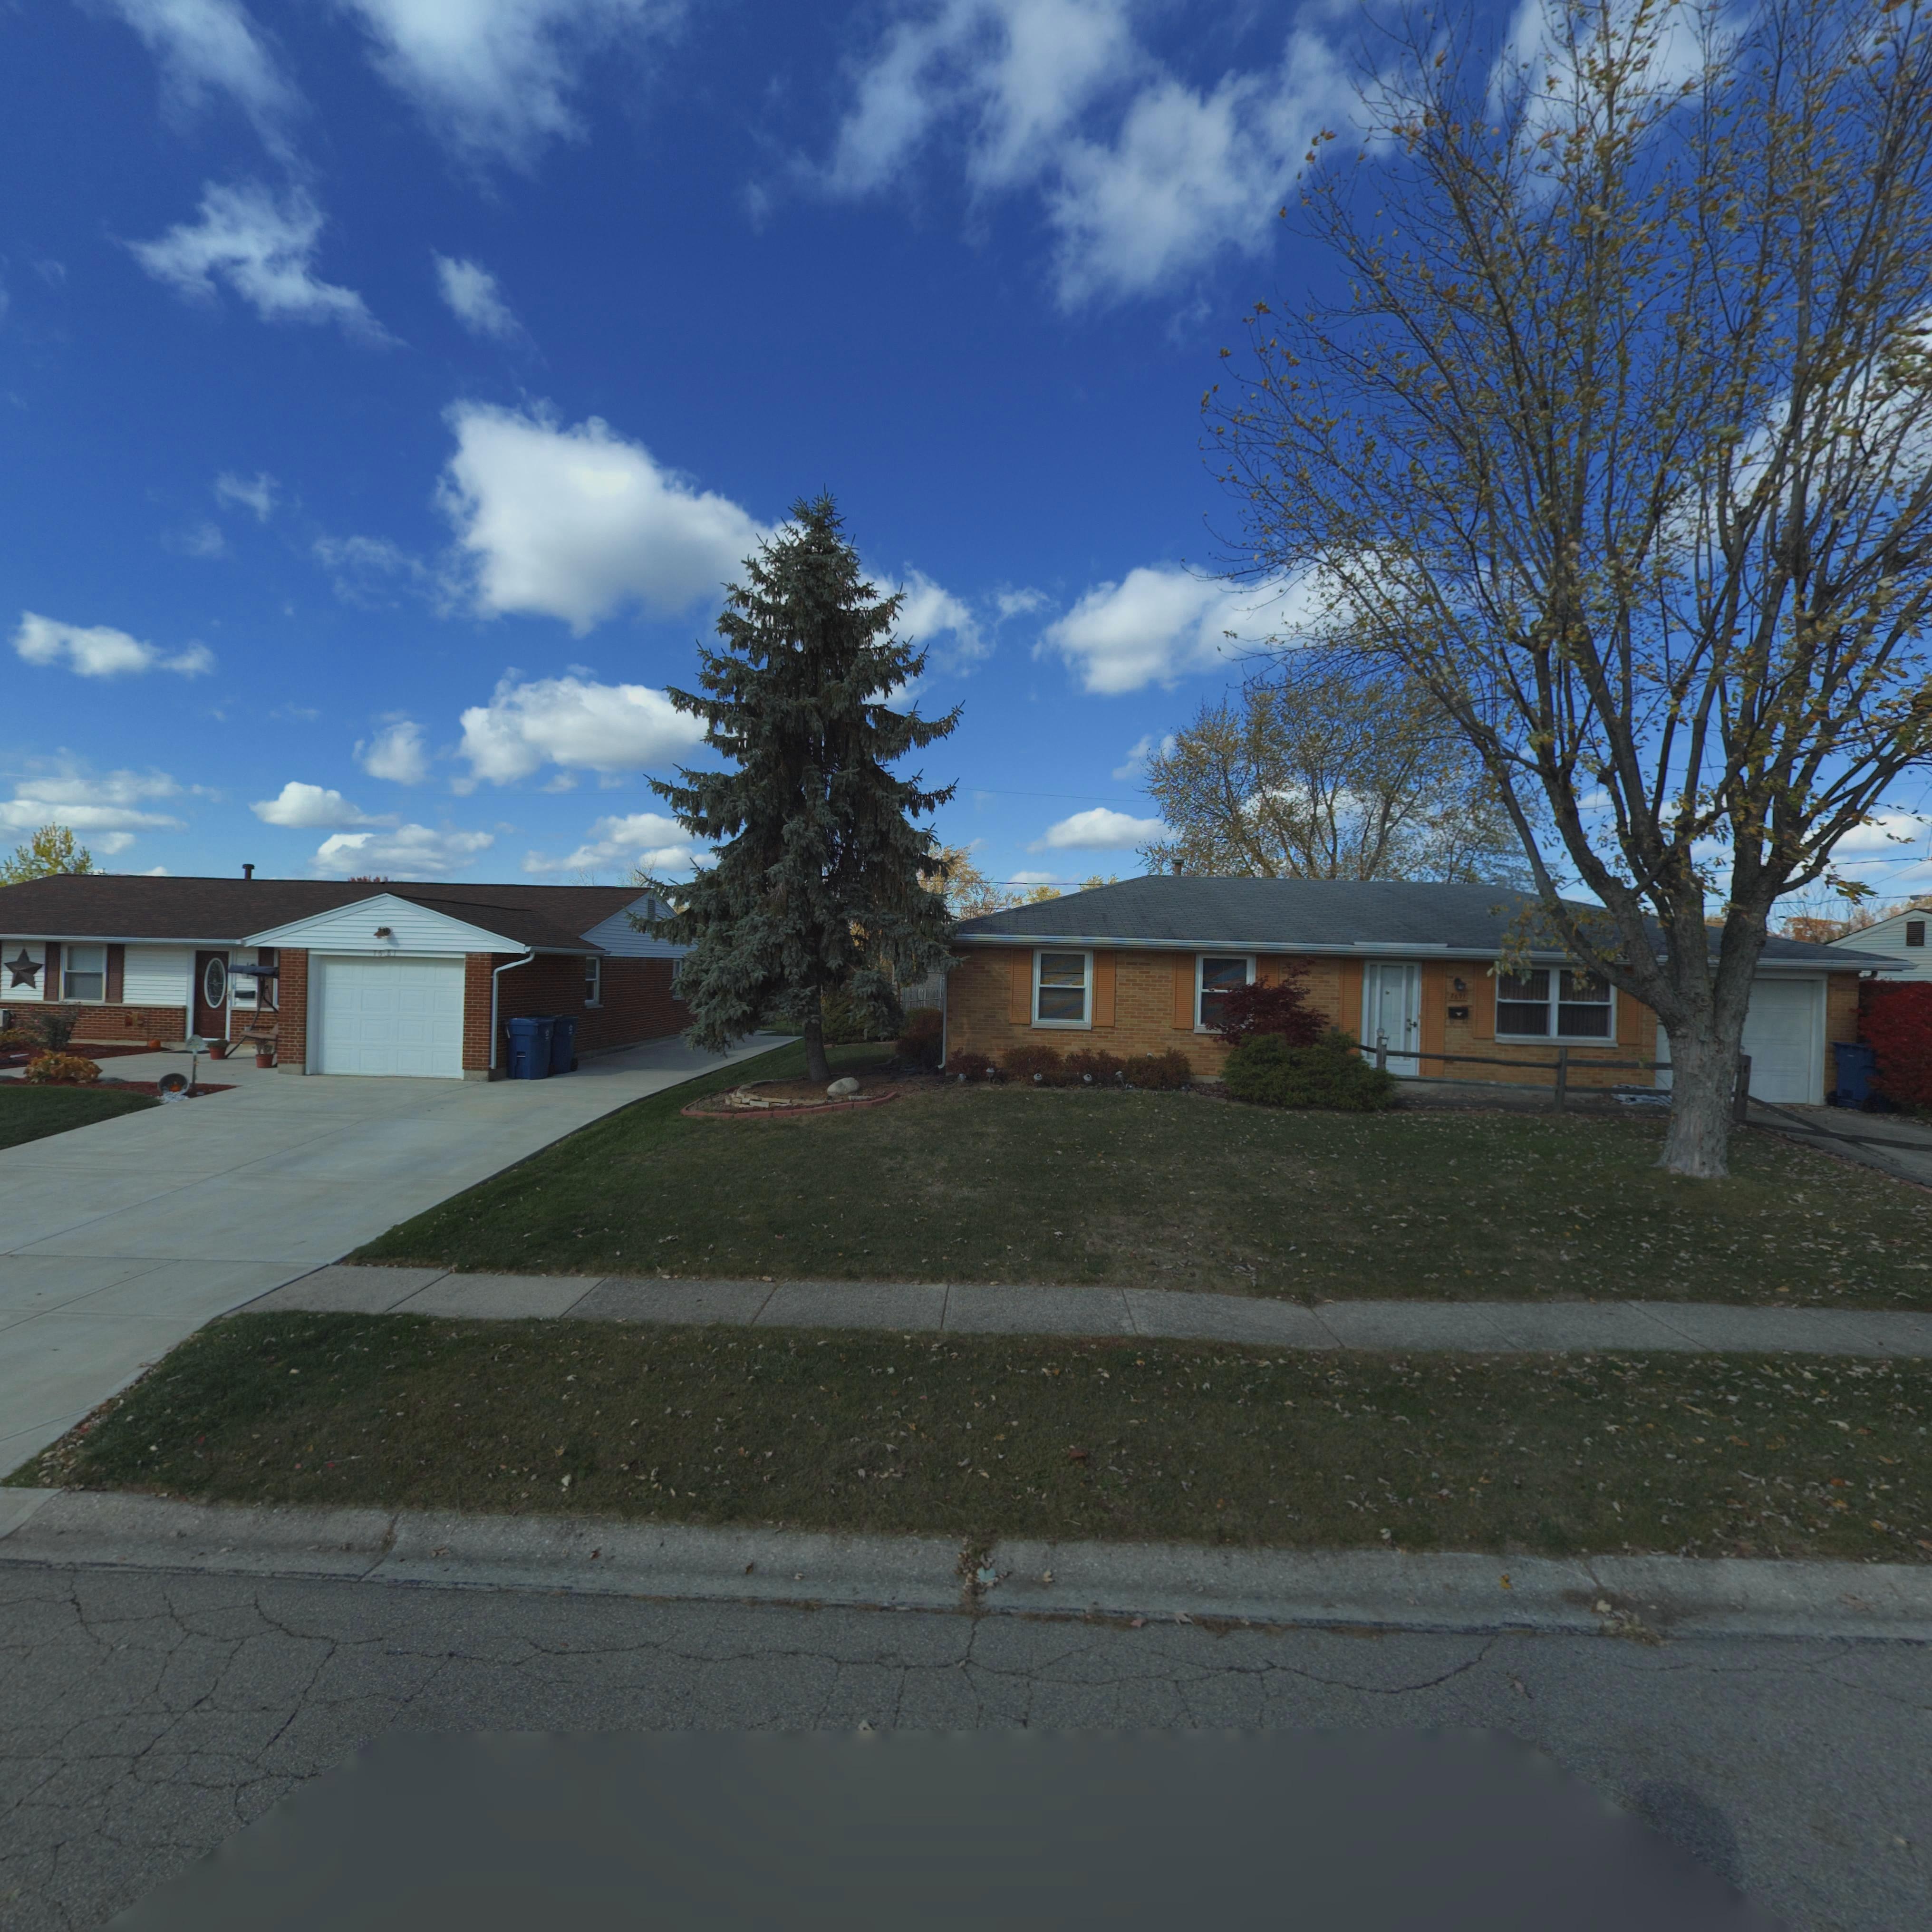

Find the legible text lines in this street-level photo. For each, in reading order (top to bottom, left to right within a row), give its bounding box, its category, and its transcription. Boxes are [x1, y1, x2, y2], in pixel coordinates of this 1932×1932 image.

[372, 949, 397, 957] StreetNumber: 7681
[1449, 992, 1466, 1000] StreetNumber: 7693